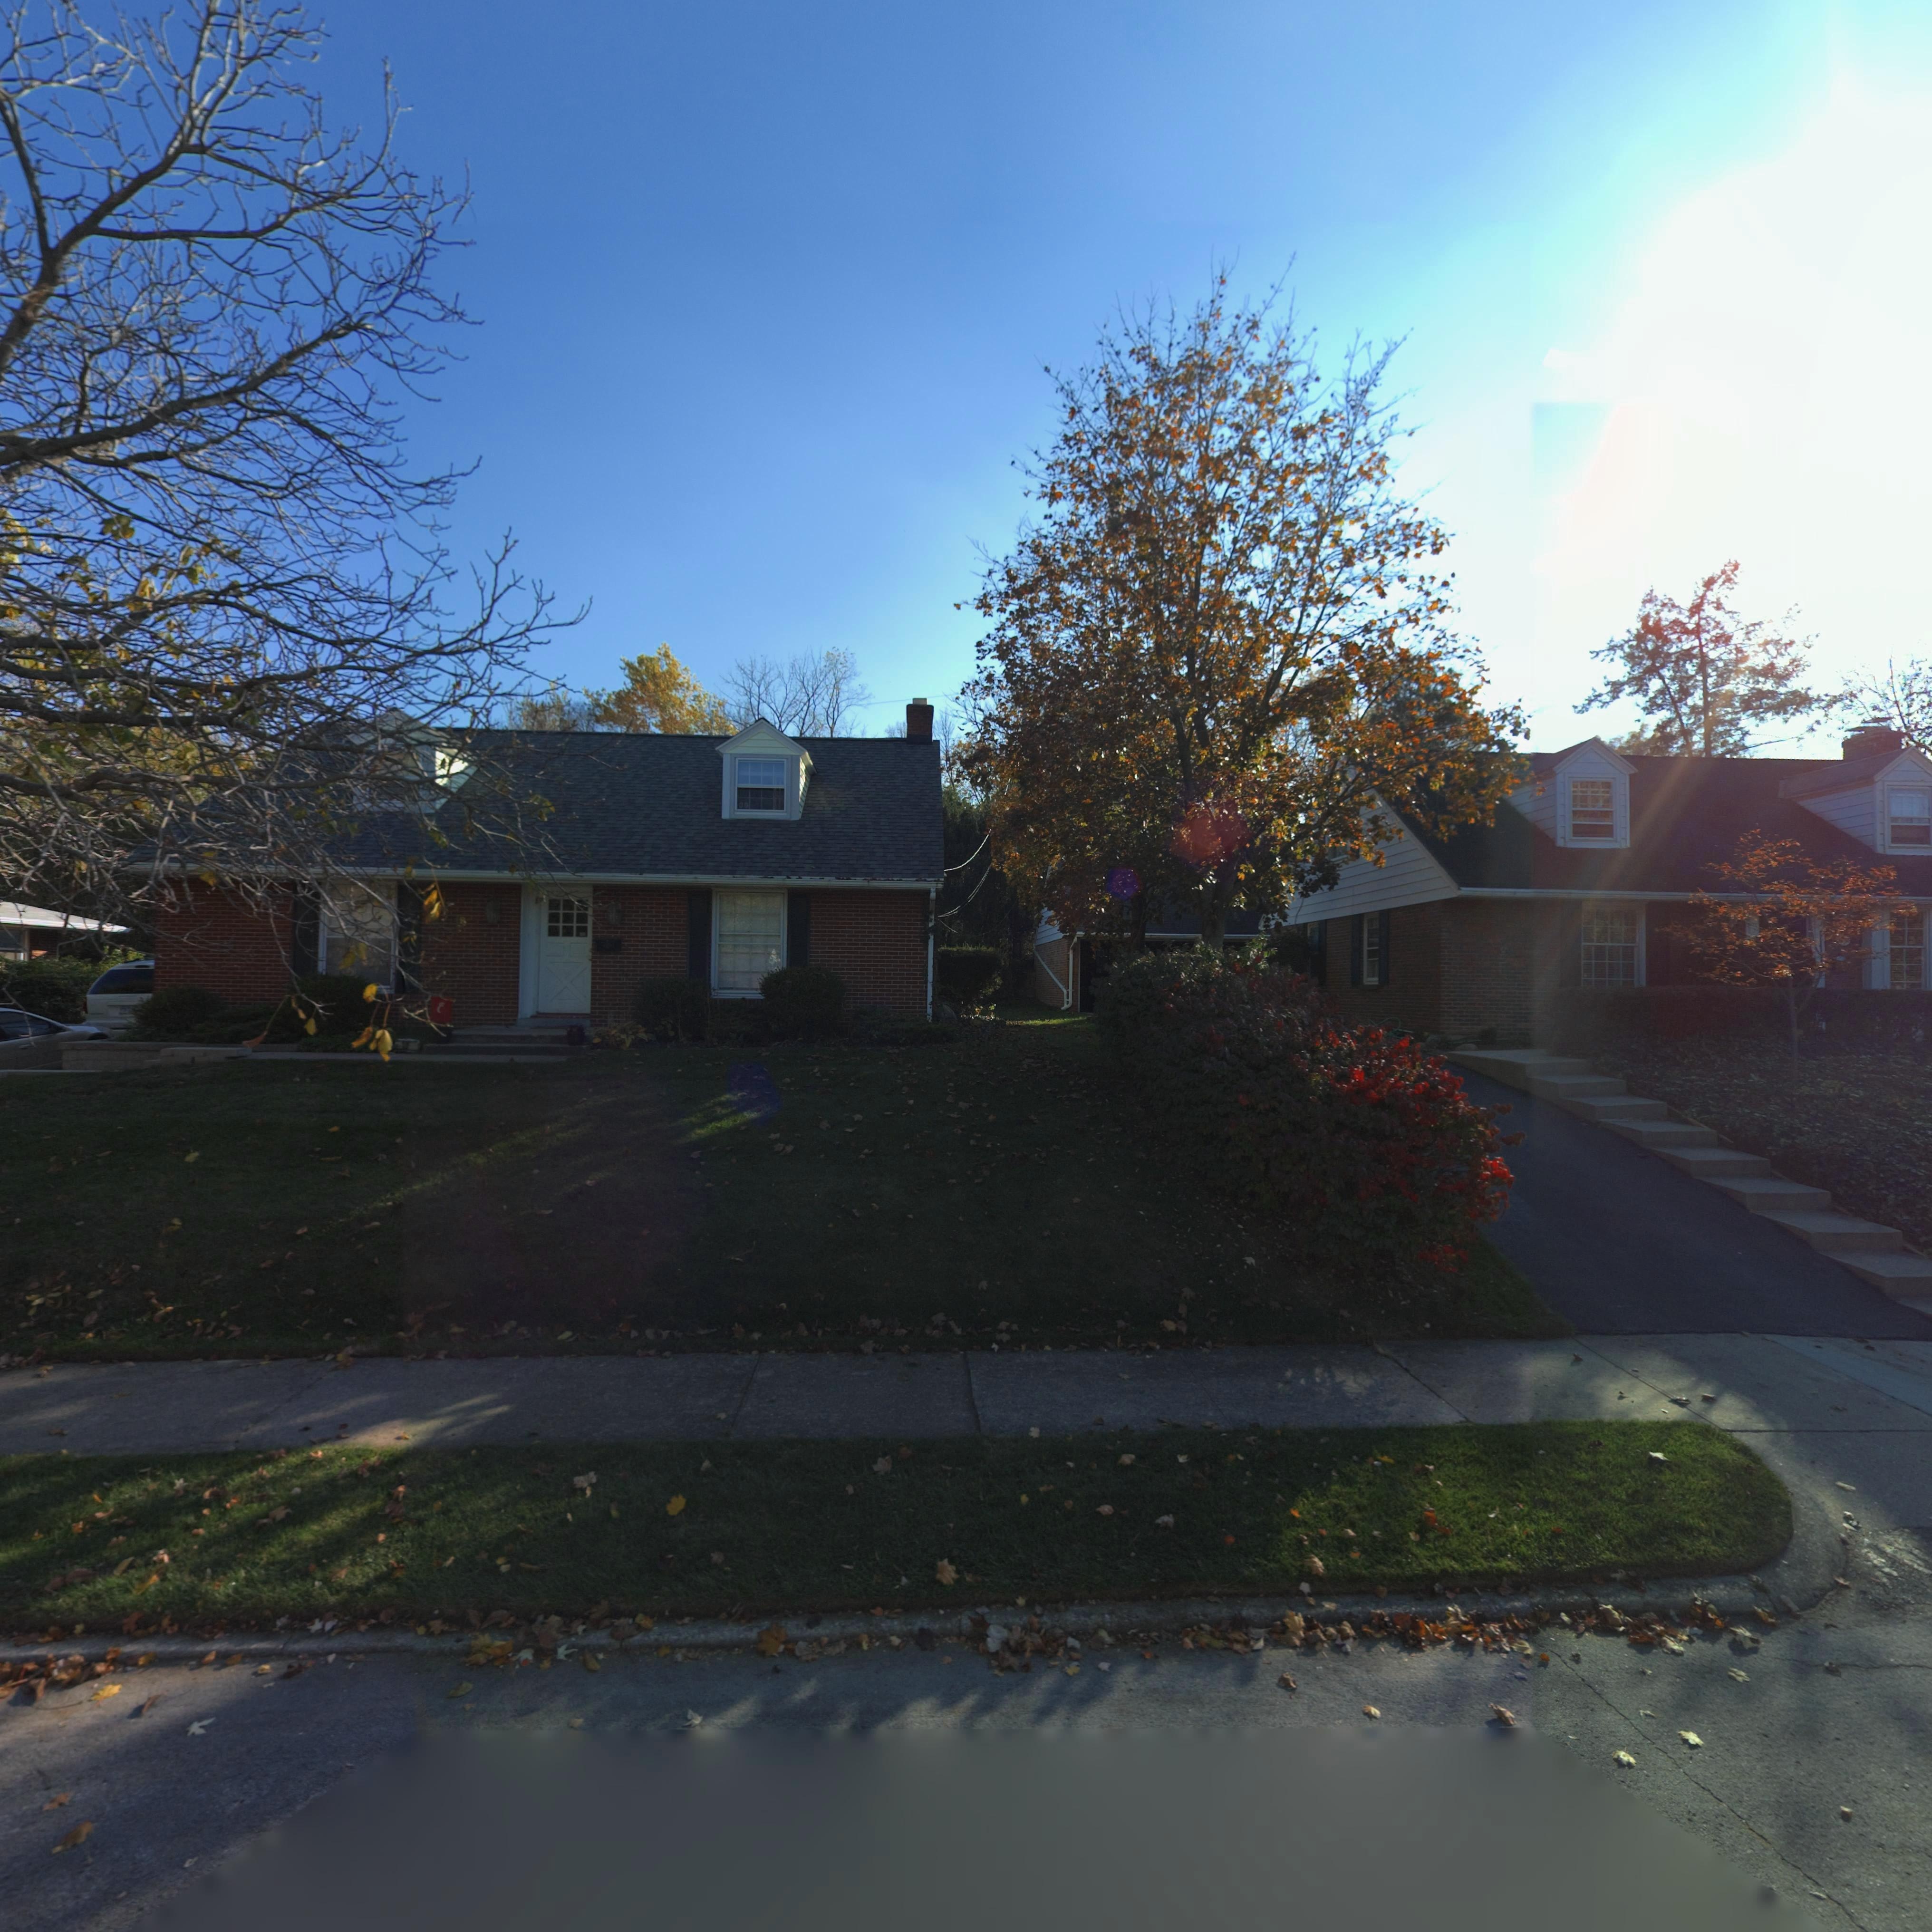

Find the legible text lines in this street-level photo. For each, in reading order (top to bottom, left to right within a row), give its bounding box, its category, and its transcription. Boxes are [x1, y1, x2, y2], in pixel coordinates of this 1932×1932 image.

[459, 917, 466, 925] StreetNumber: 8